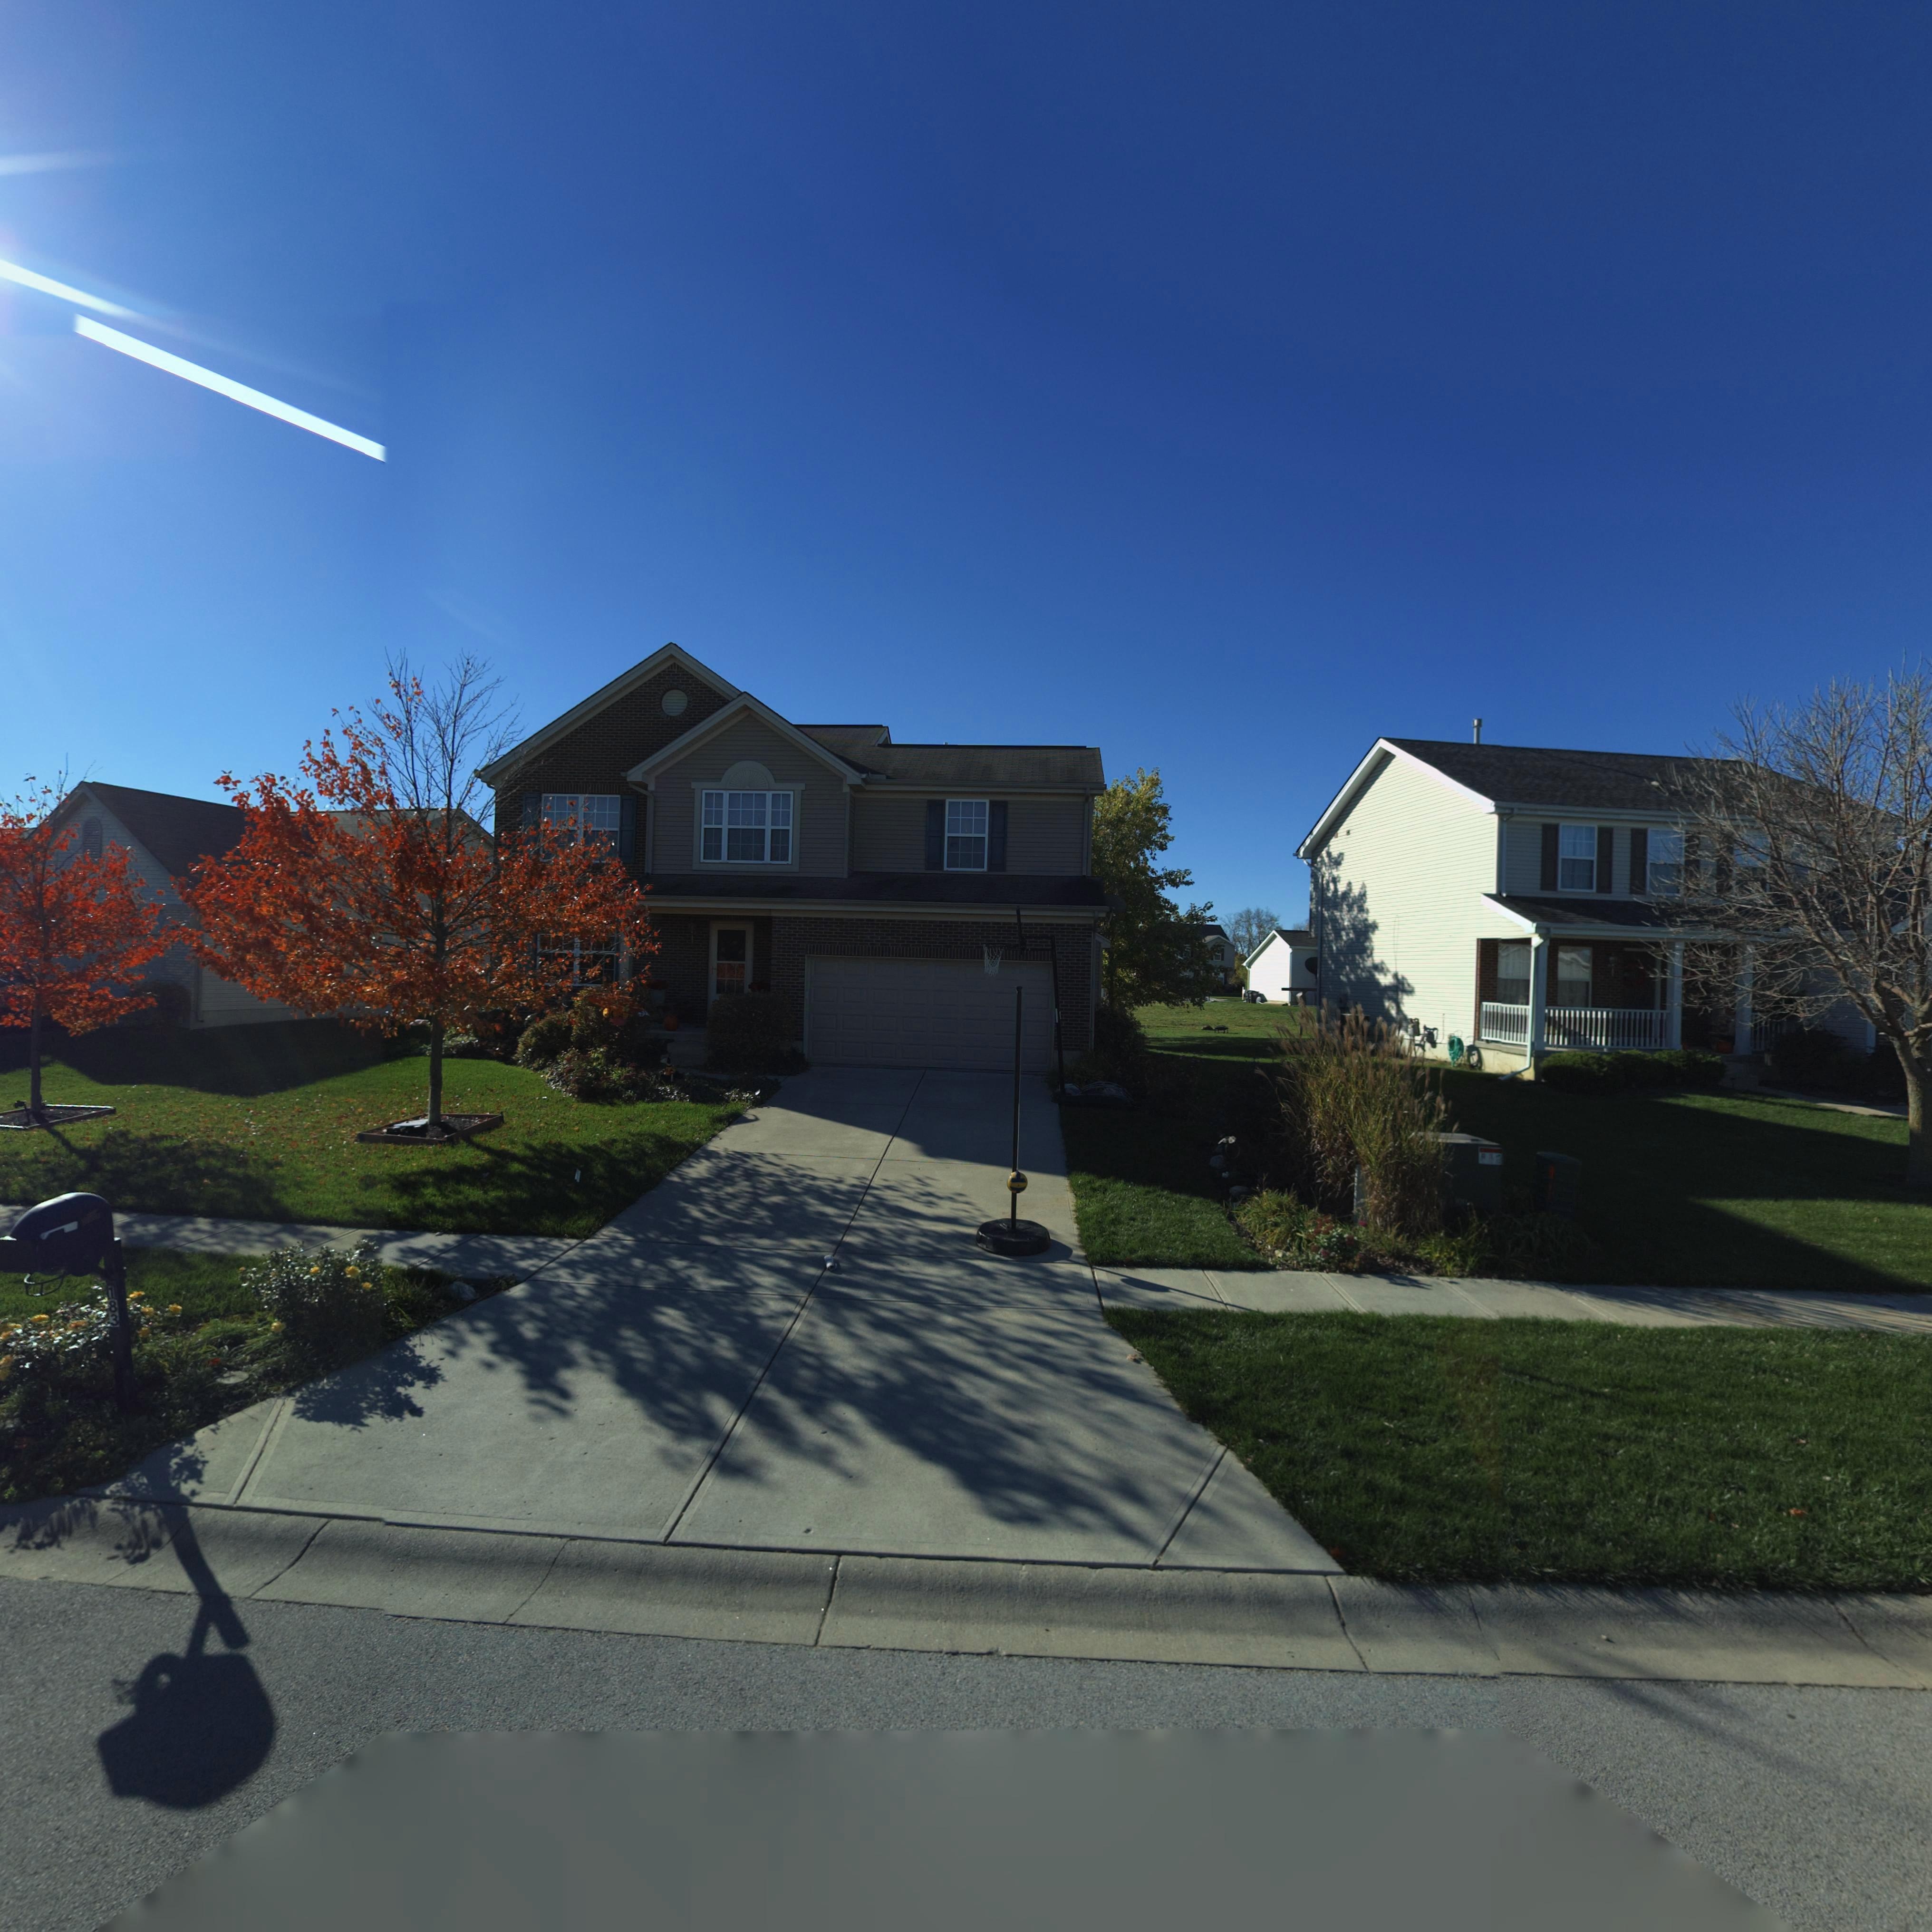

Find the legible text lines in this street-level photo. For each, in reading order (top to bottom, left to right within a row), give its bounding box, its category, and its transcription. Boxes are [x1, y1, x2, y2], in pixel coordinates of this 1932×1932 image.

[107, 1286, 118, 1327] StreetNumber: 183